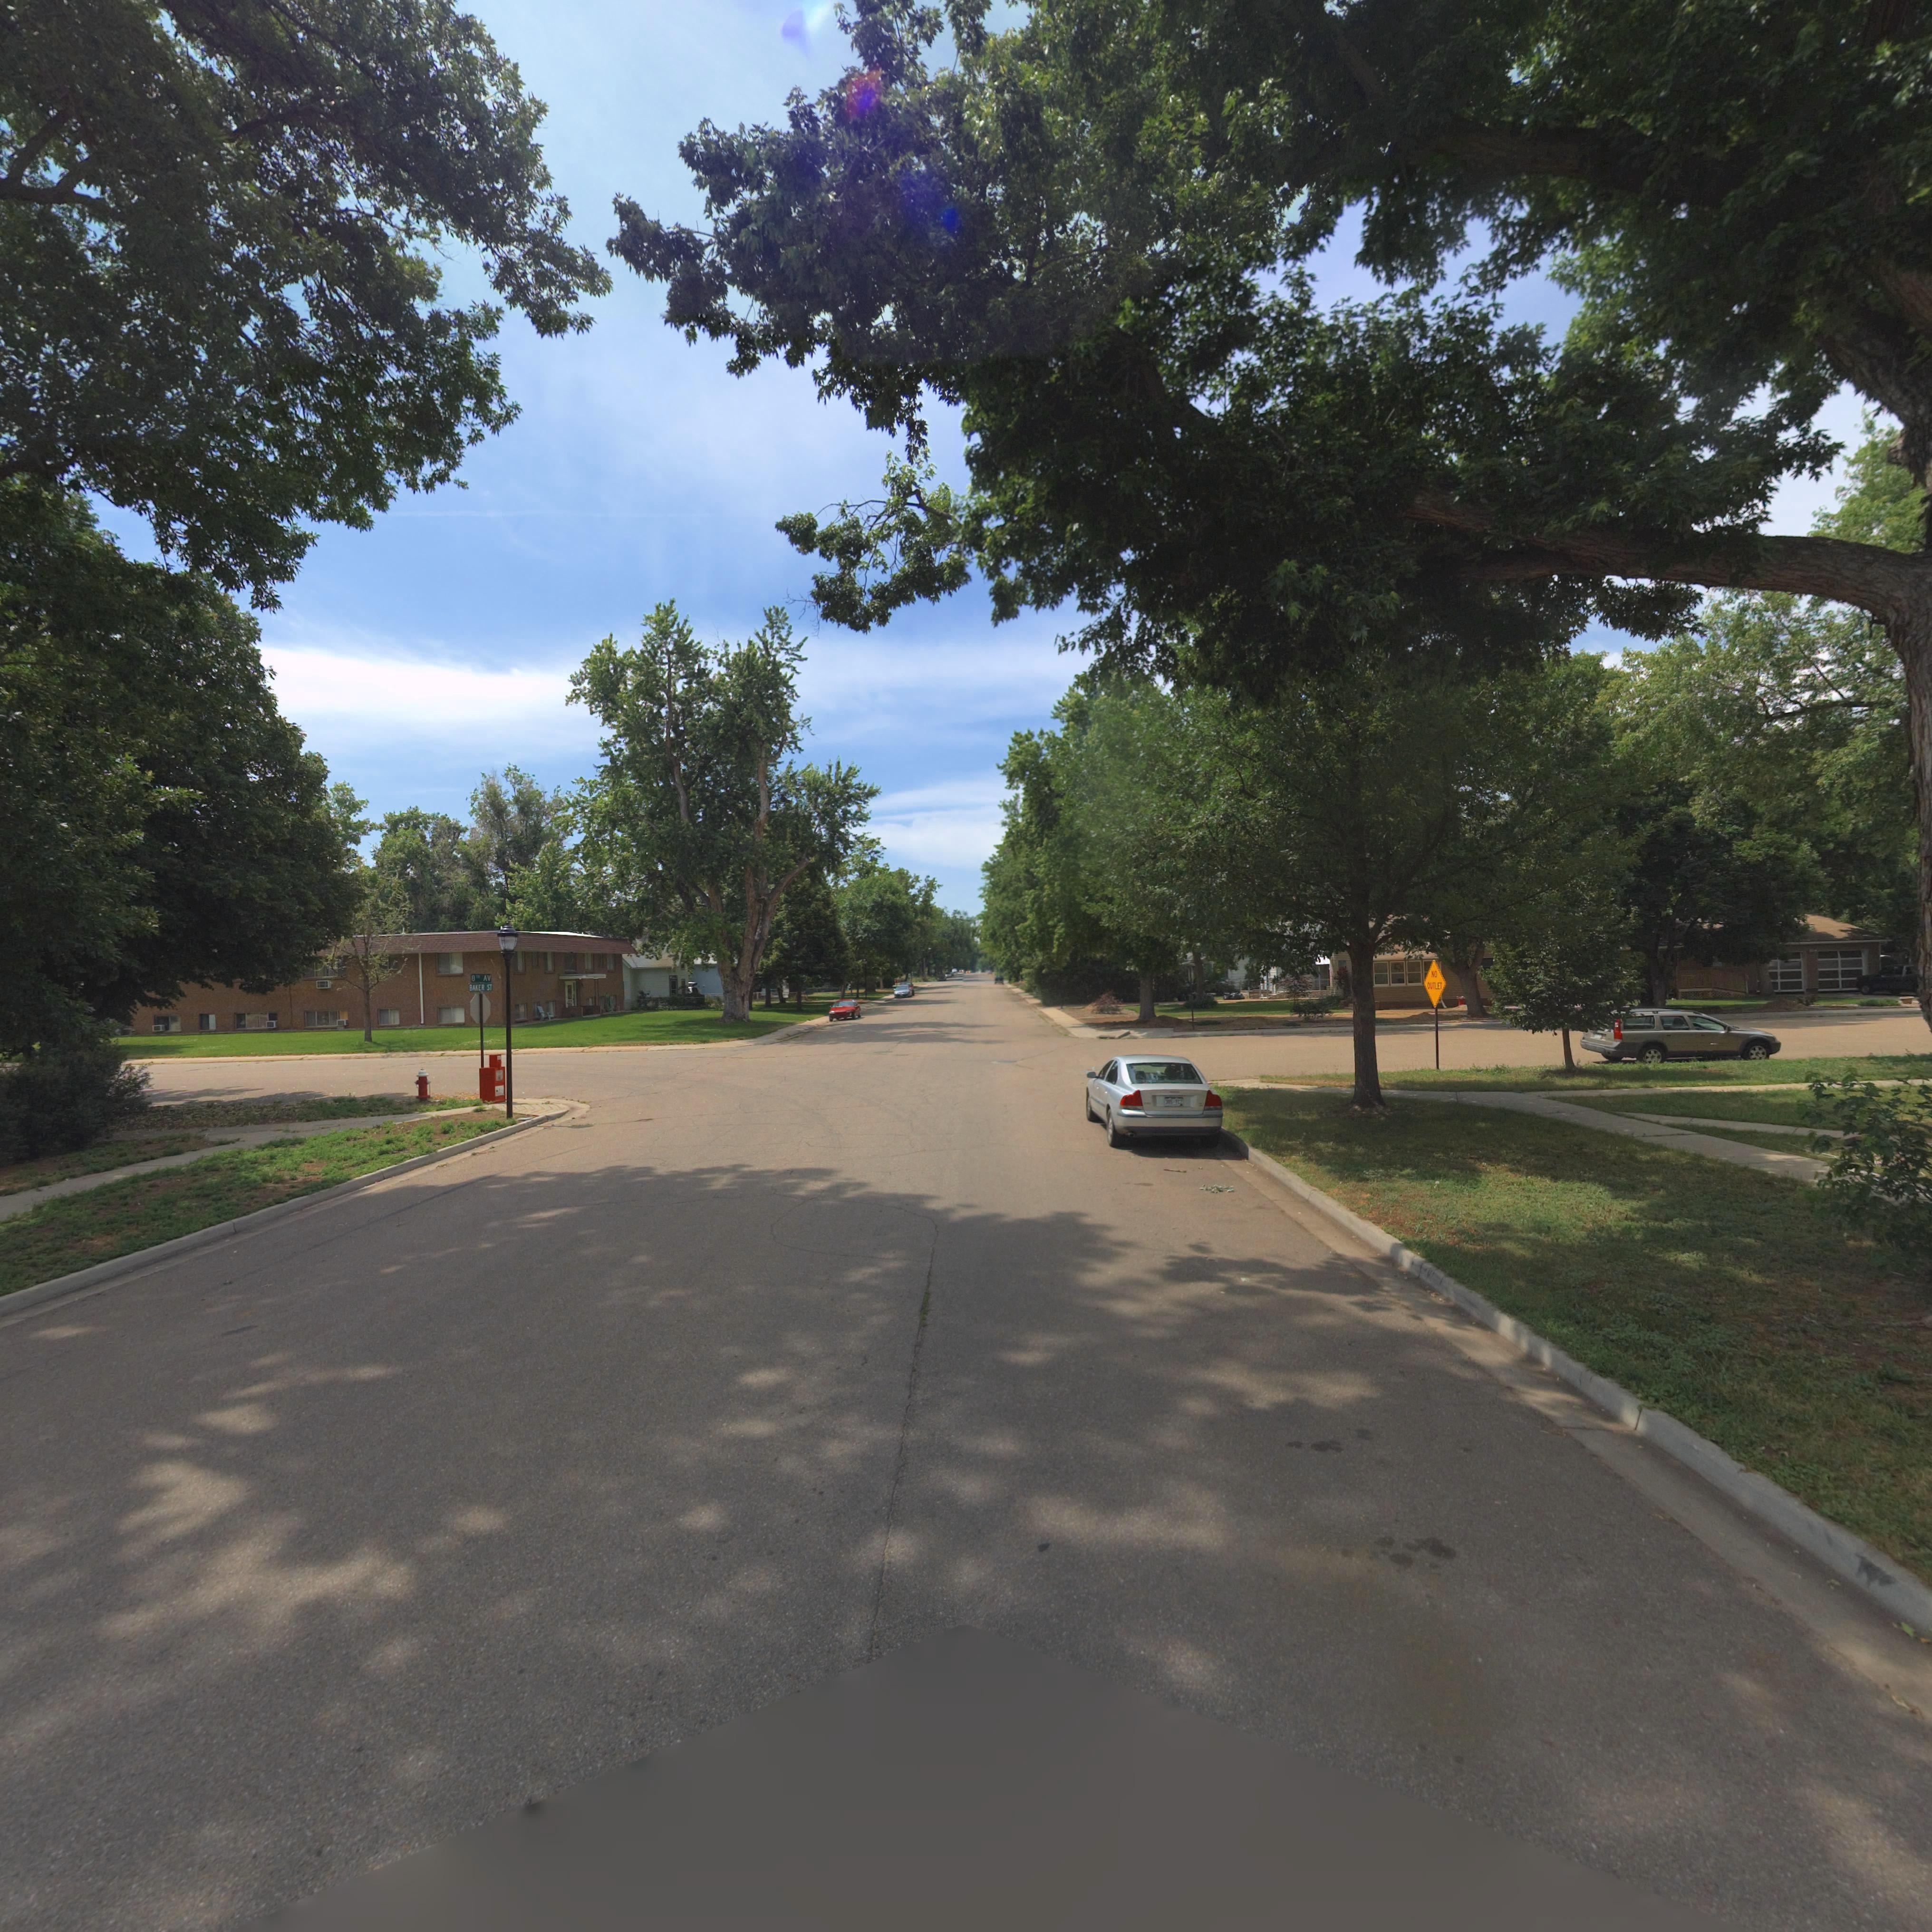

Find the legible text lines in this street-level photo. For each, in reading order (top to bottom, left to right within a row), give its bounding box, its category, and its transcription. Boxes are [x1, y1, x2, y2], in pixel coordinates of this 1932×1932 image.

[471, 975, 491, 981] StreetName: 8** AV
[469, 984, 492, 991] StreetName: BAKER ST